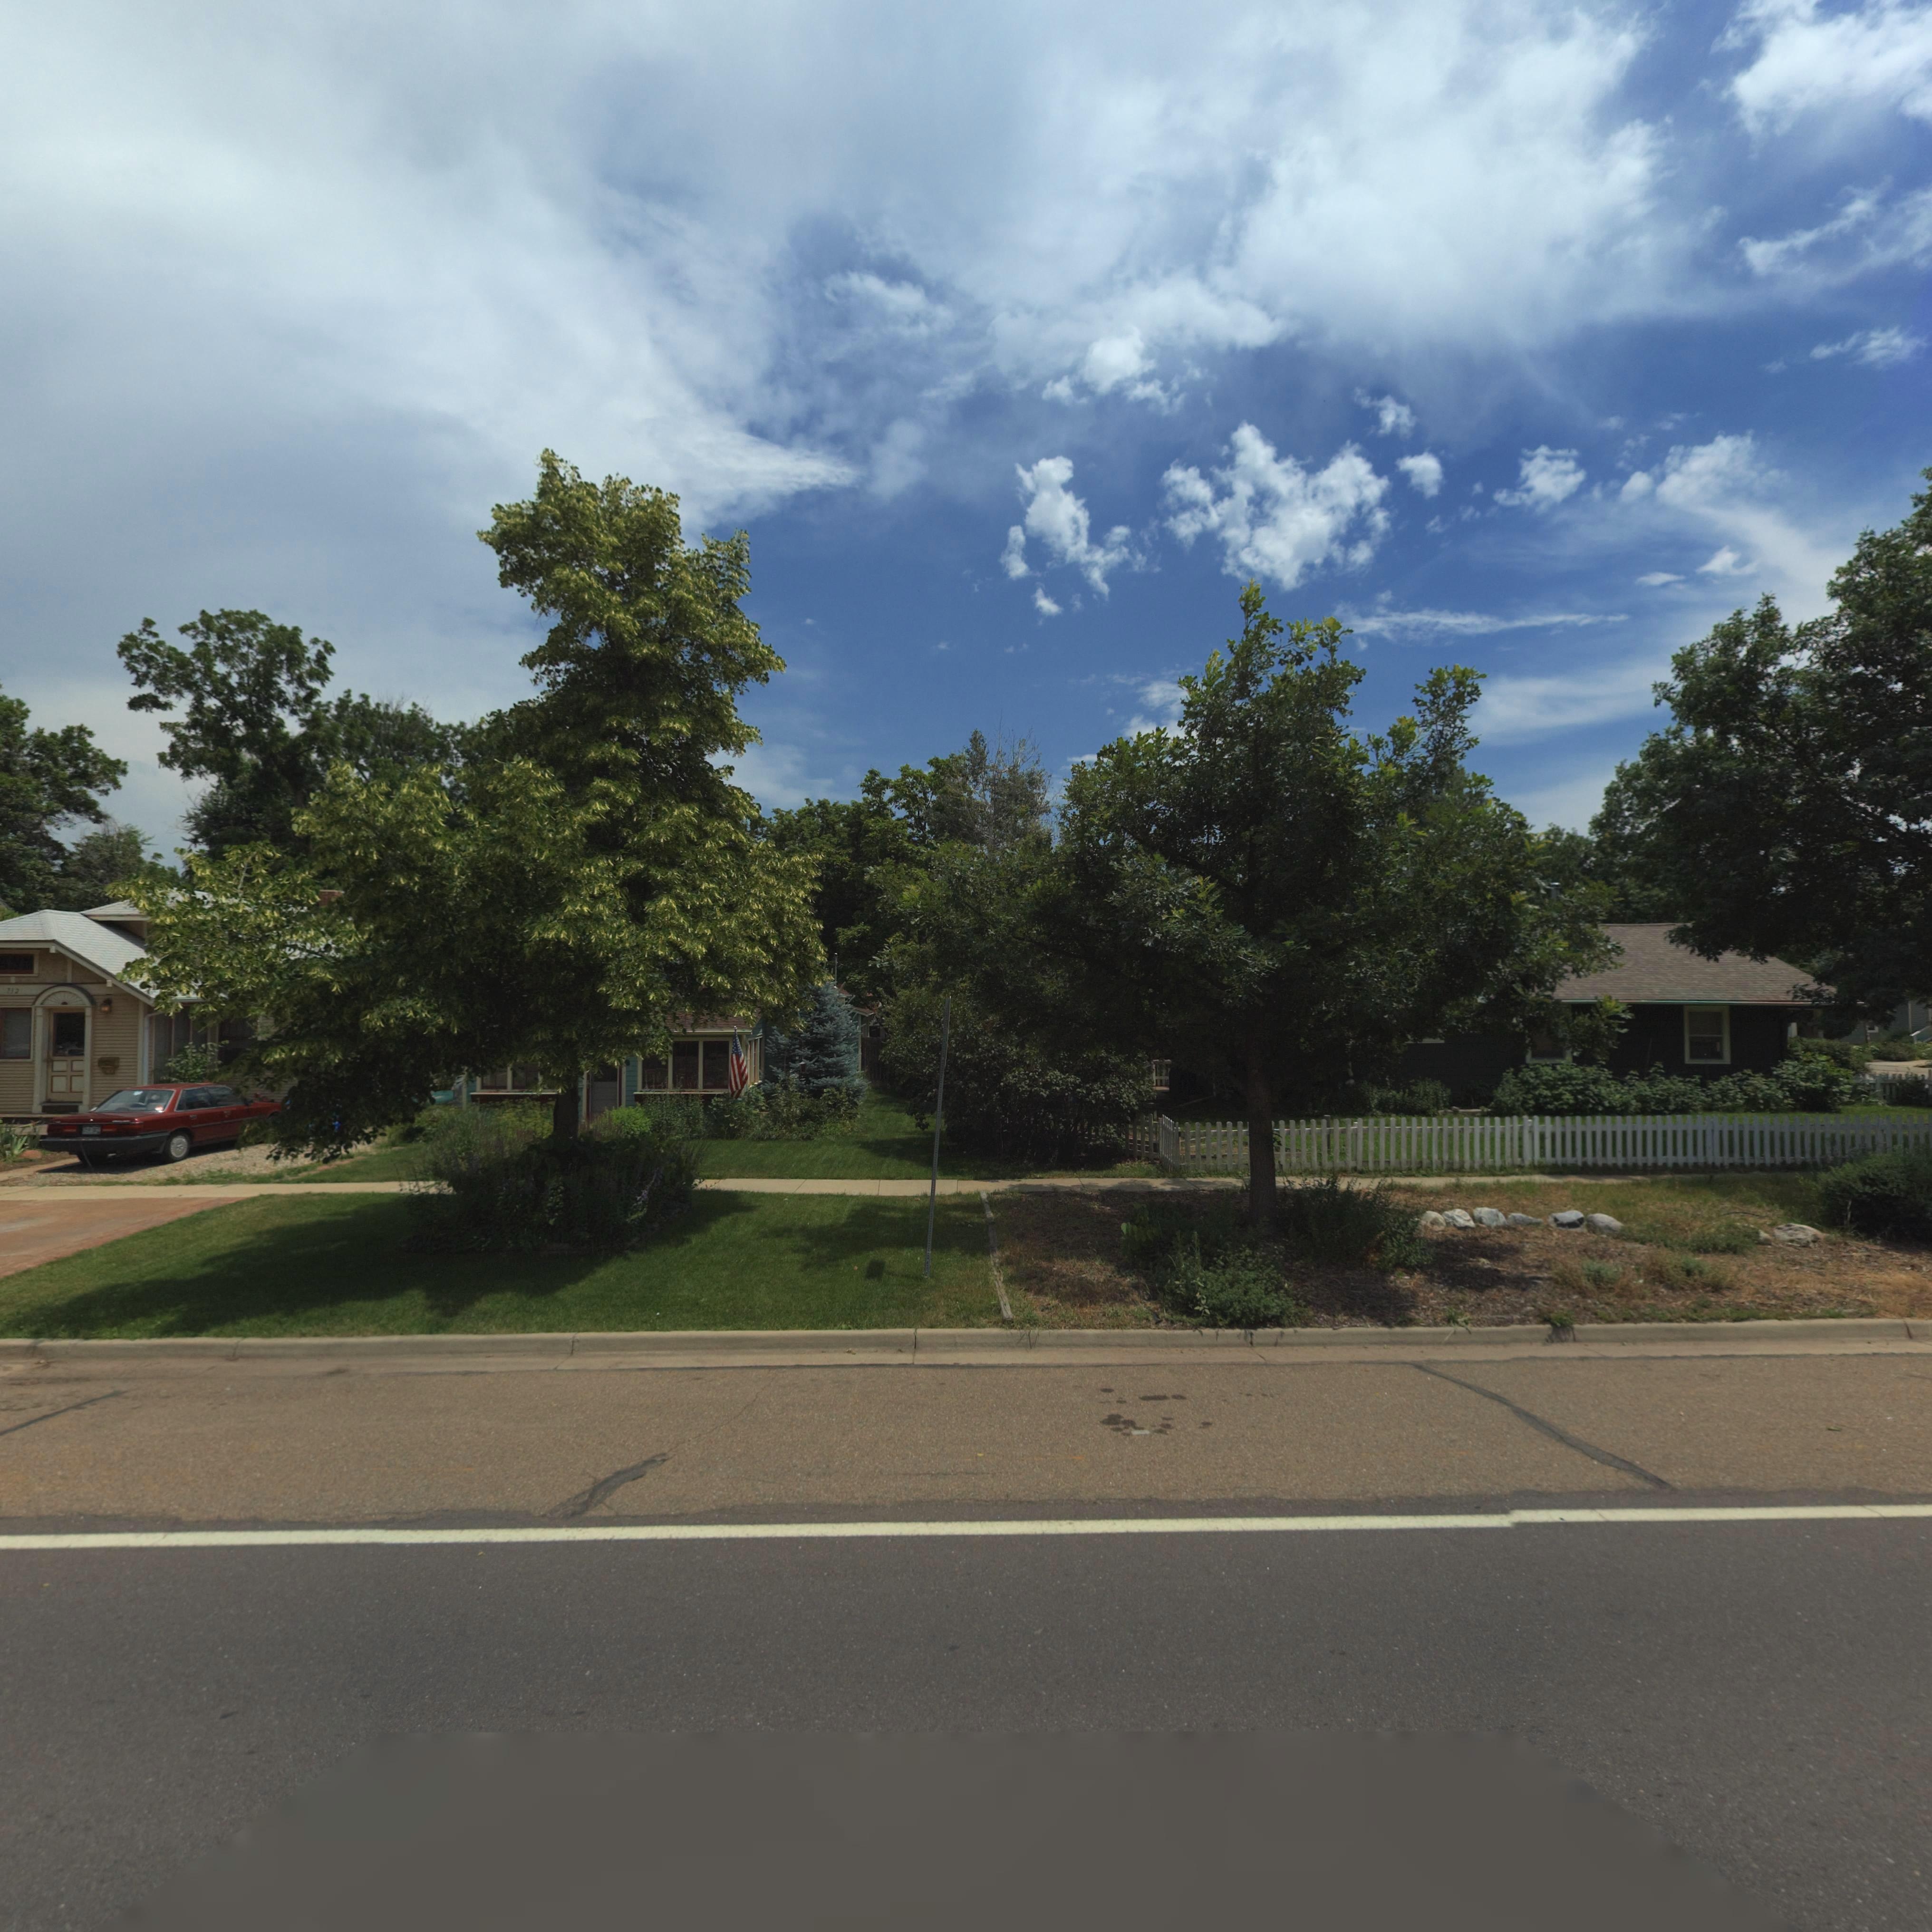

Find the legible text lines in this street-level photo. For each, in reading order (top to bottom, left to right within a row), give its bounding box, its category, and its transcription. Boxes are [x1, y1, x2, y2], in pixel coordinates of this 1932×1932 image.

[6, 987, 19, 994] StreetNumber: 712